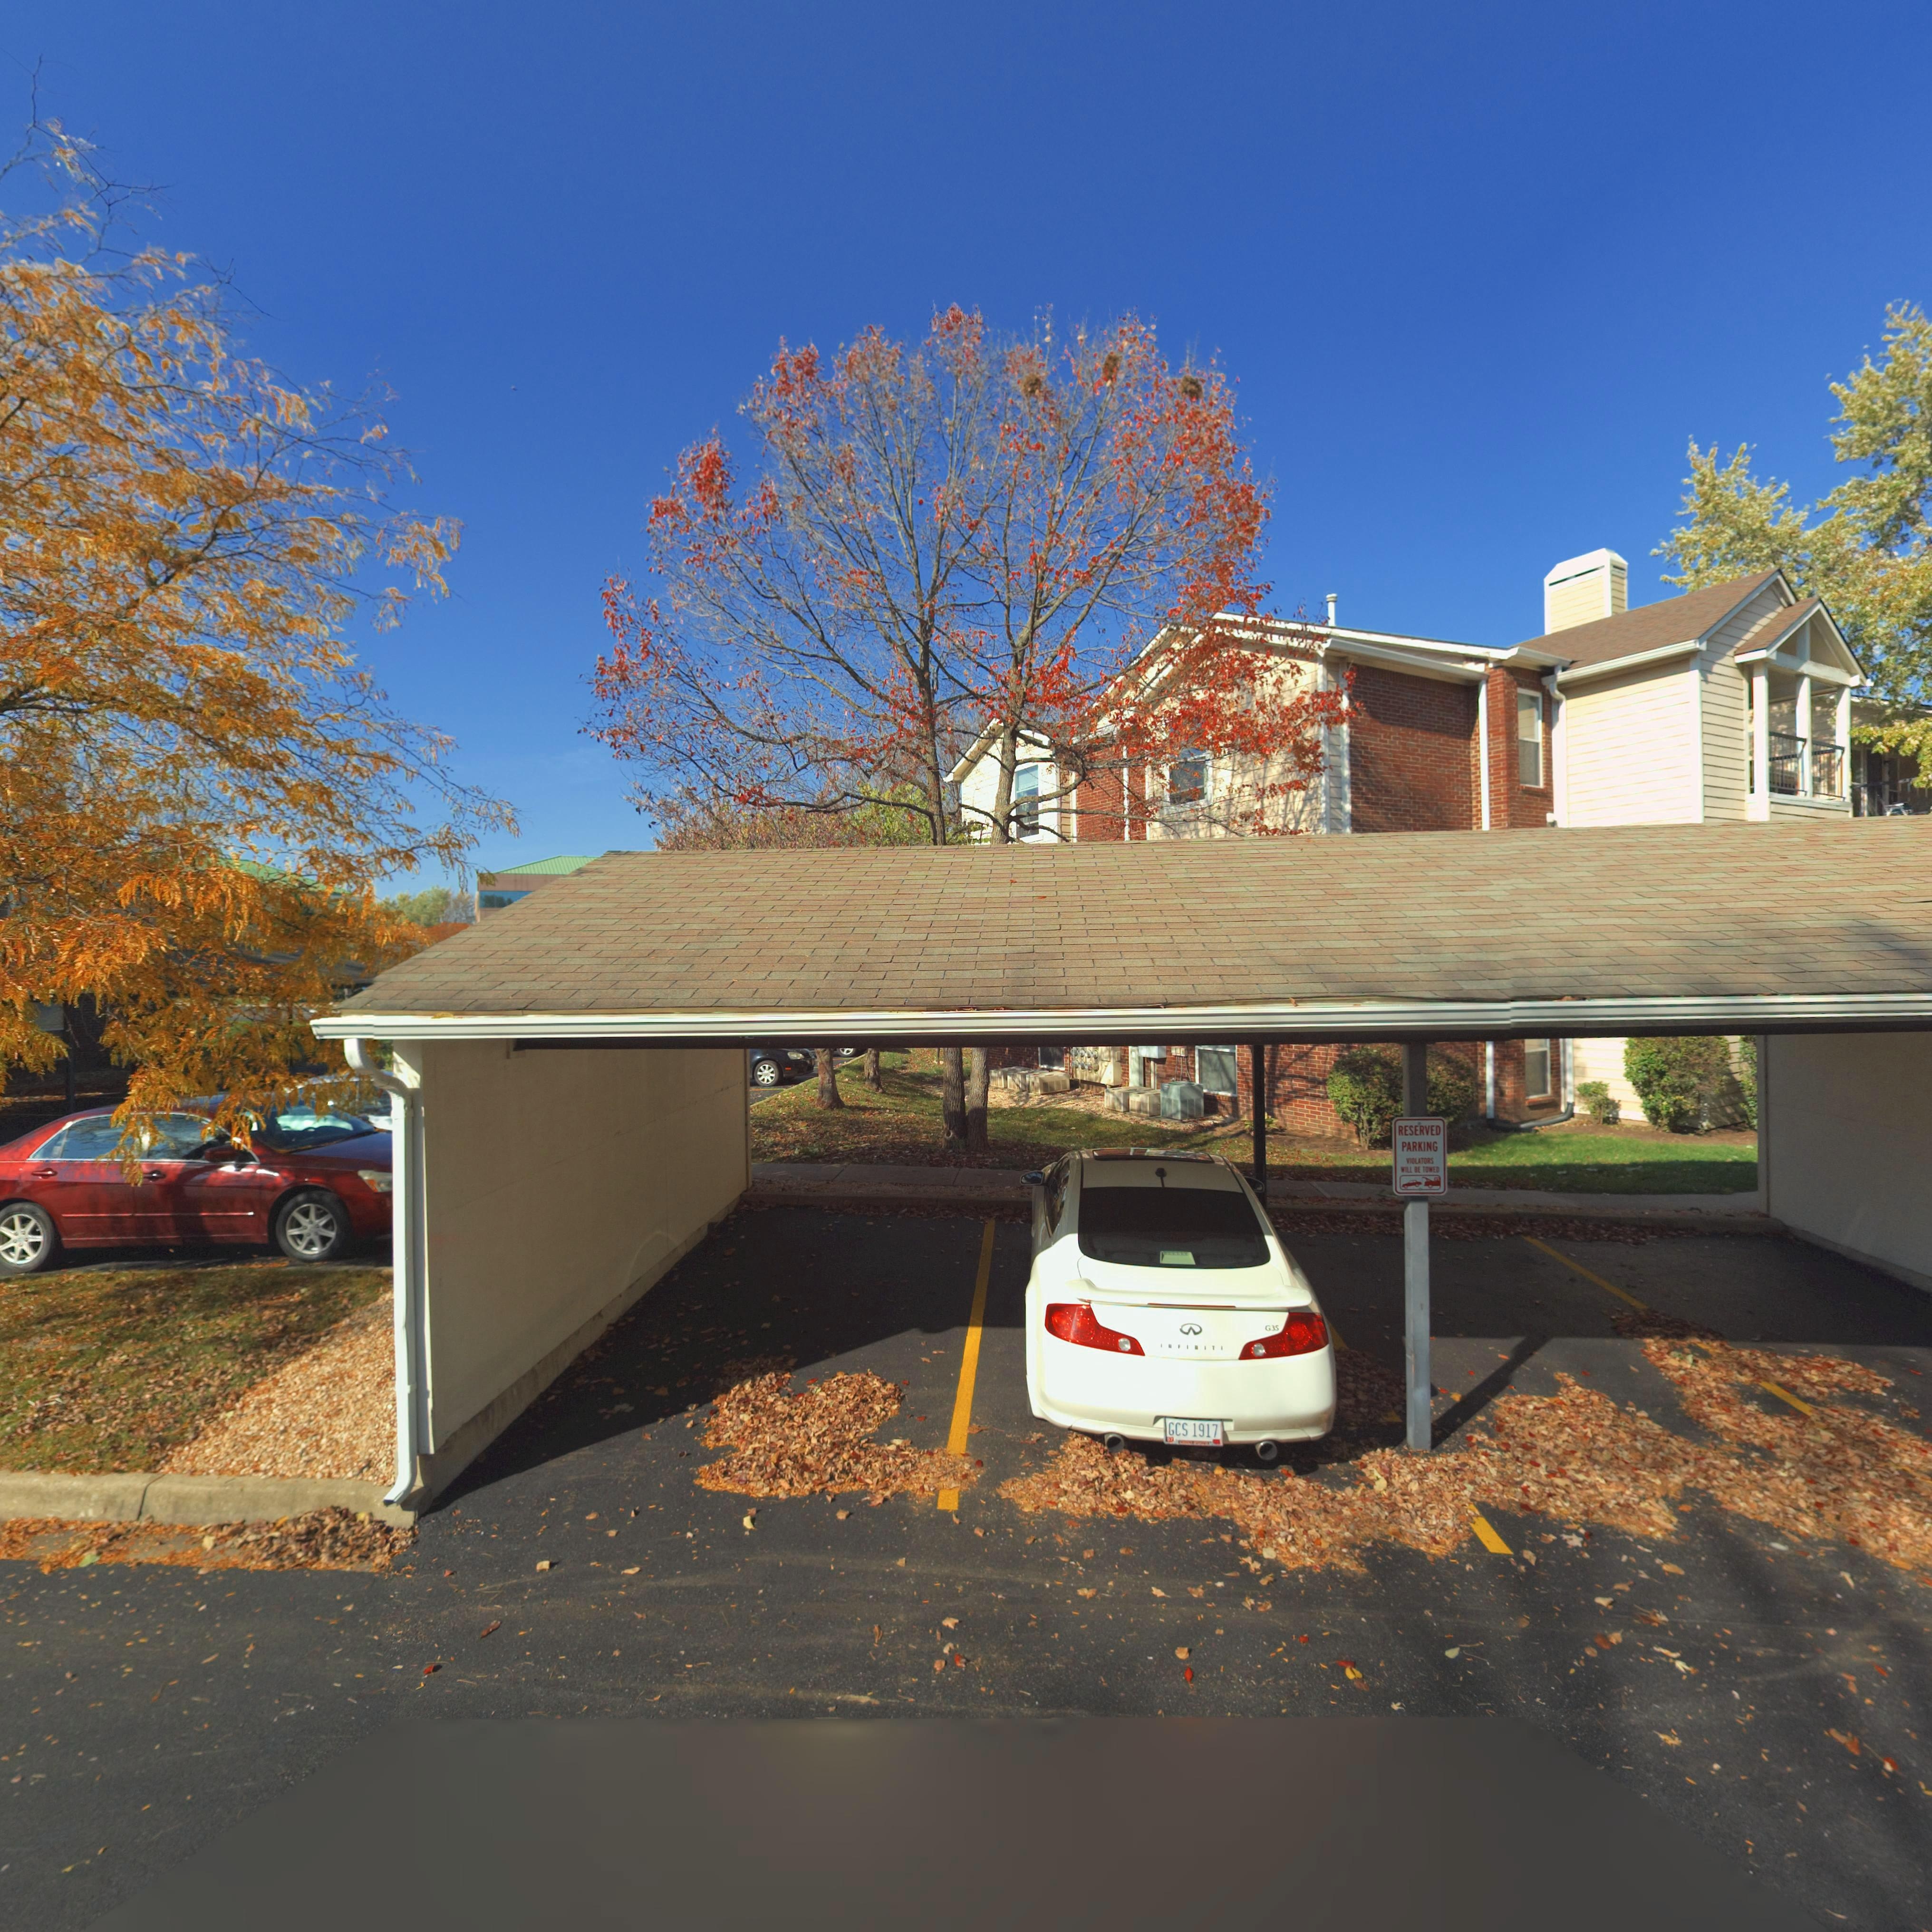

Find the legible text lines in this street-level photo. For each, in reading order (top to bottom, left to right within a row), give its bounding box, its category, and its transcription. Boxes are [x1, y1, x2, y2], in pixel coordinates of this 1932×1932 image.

[1398, 1124, 1442, 1137] None: RESERVED
[1401, 1140, 1439, 1152] None: PARKING
[1404, 1156, 1435, 1166] None: VIOLATORS
[1400, 1165, 1441, 1174] None: *ILL BE TO*ED
[1264, 1324, 1280, 1332] None: G35
[1159, 1343, 1224, 1351] None: I**I*I*I
[1168, 1421, 1219, 1439] None: GCS 1917